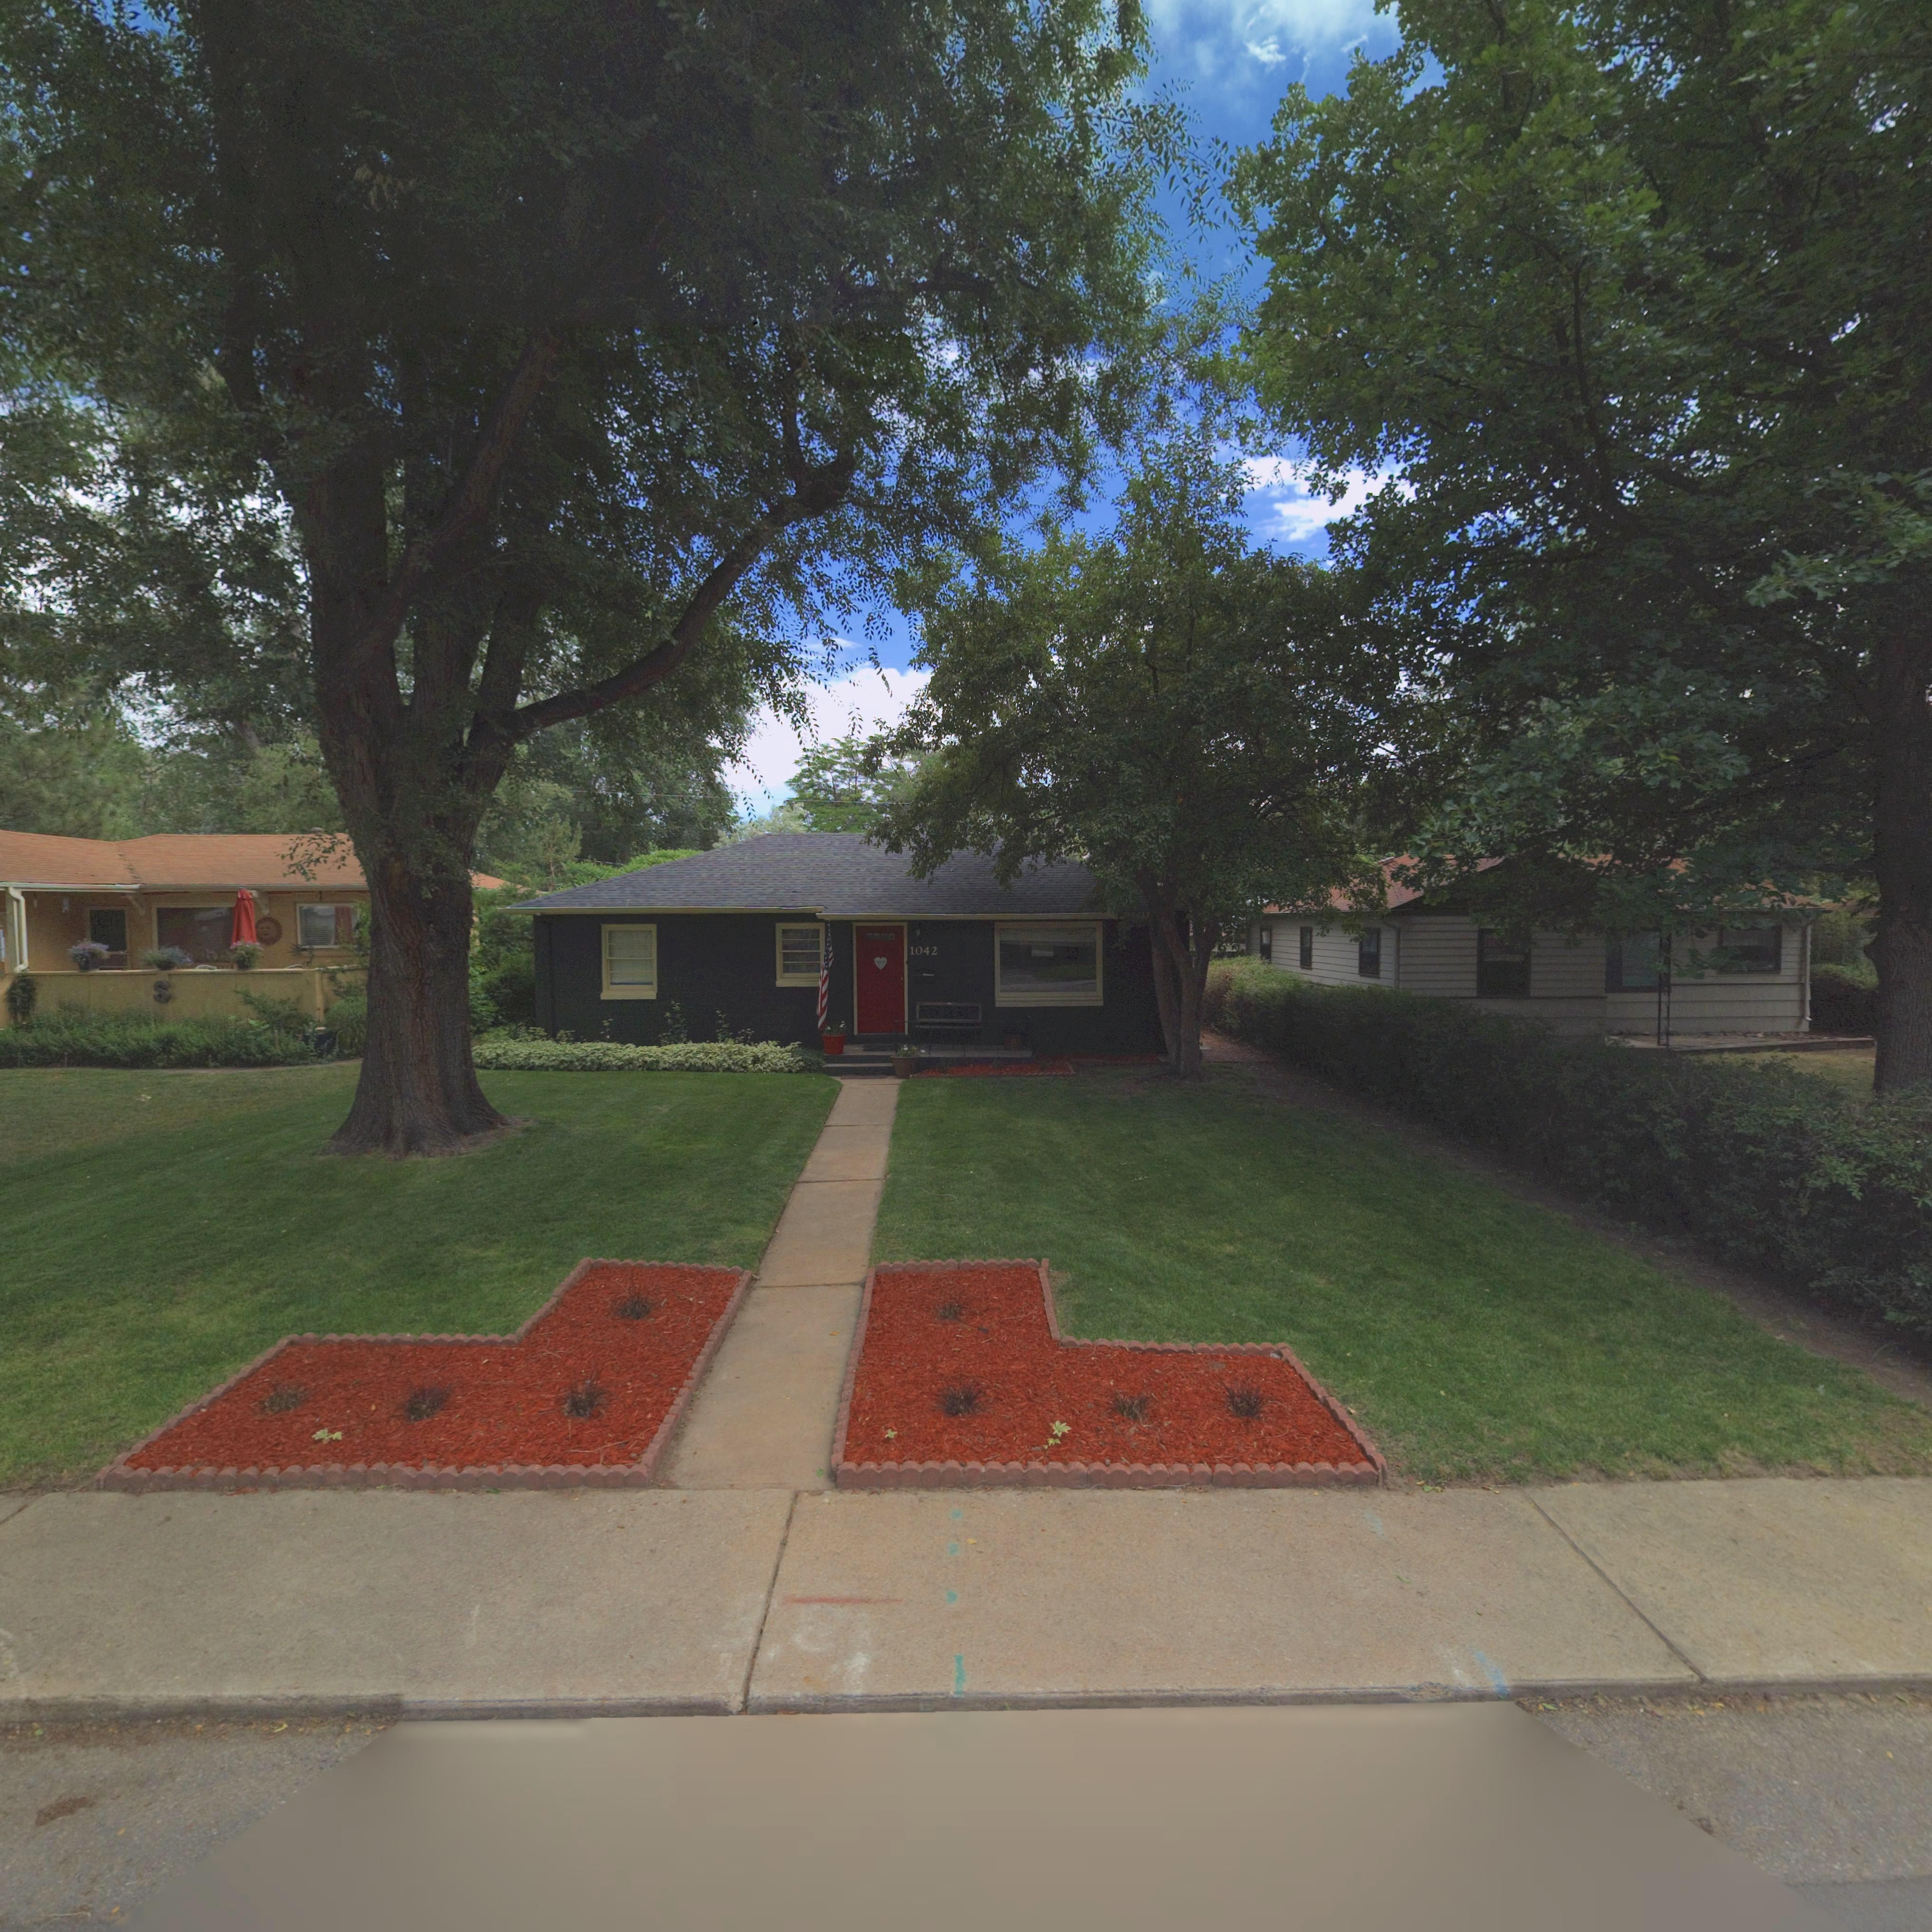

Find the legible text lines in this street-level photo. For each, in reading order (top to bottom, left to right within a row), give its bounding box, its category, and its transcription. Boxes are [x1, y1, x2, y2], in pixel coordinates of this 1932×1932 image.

[910, 947, 937, 955] StreetNumber: 1042